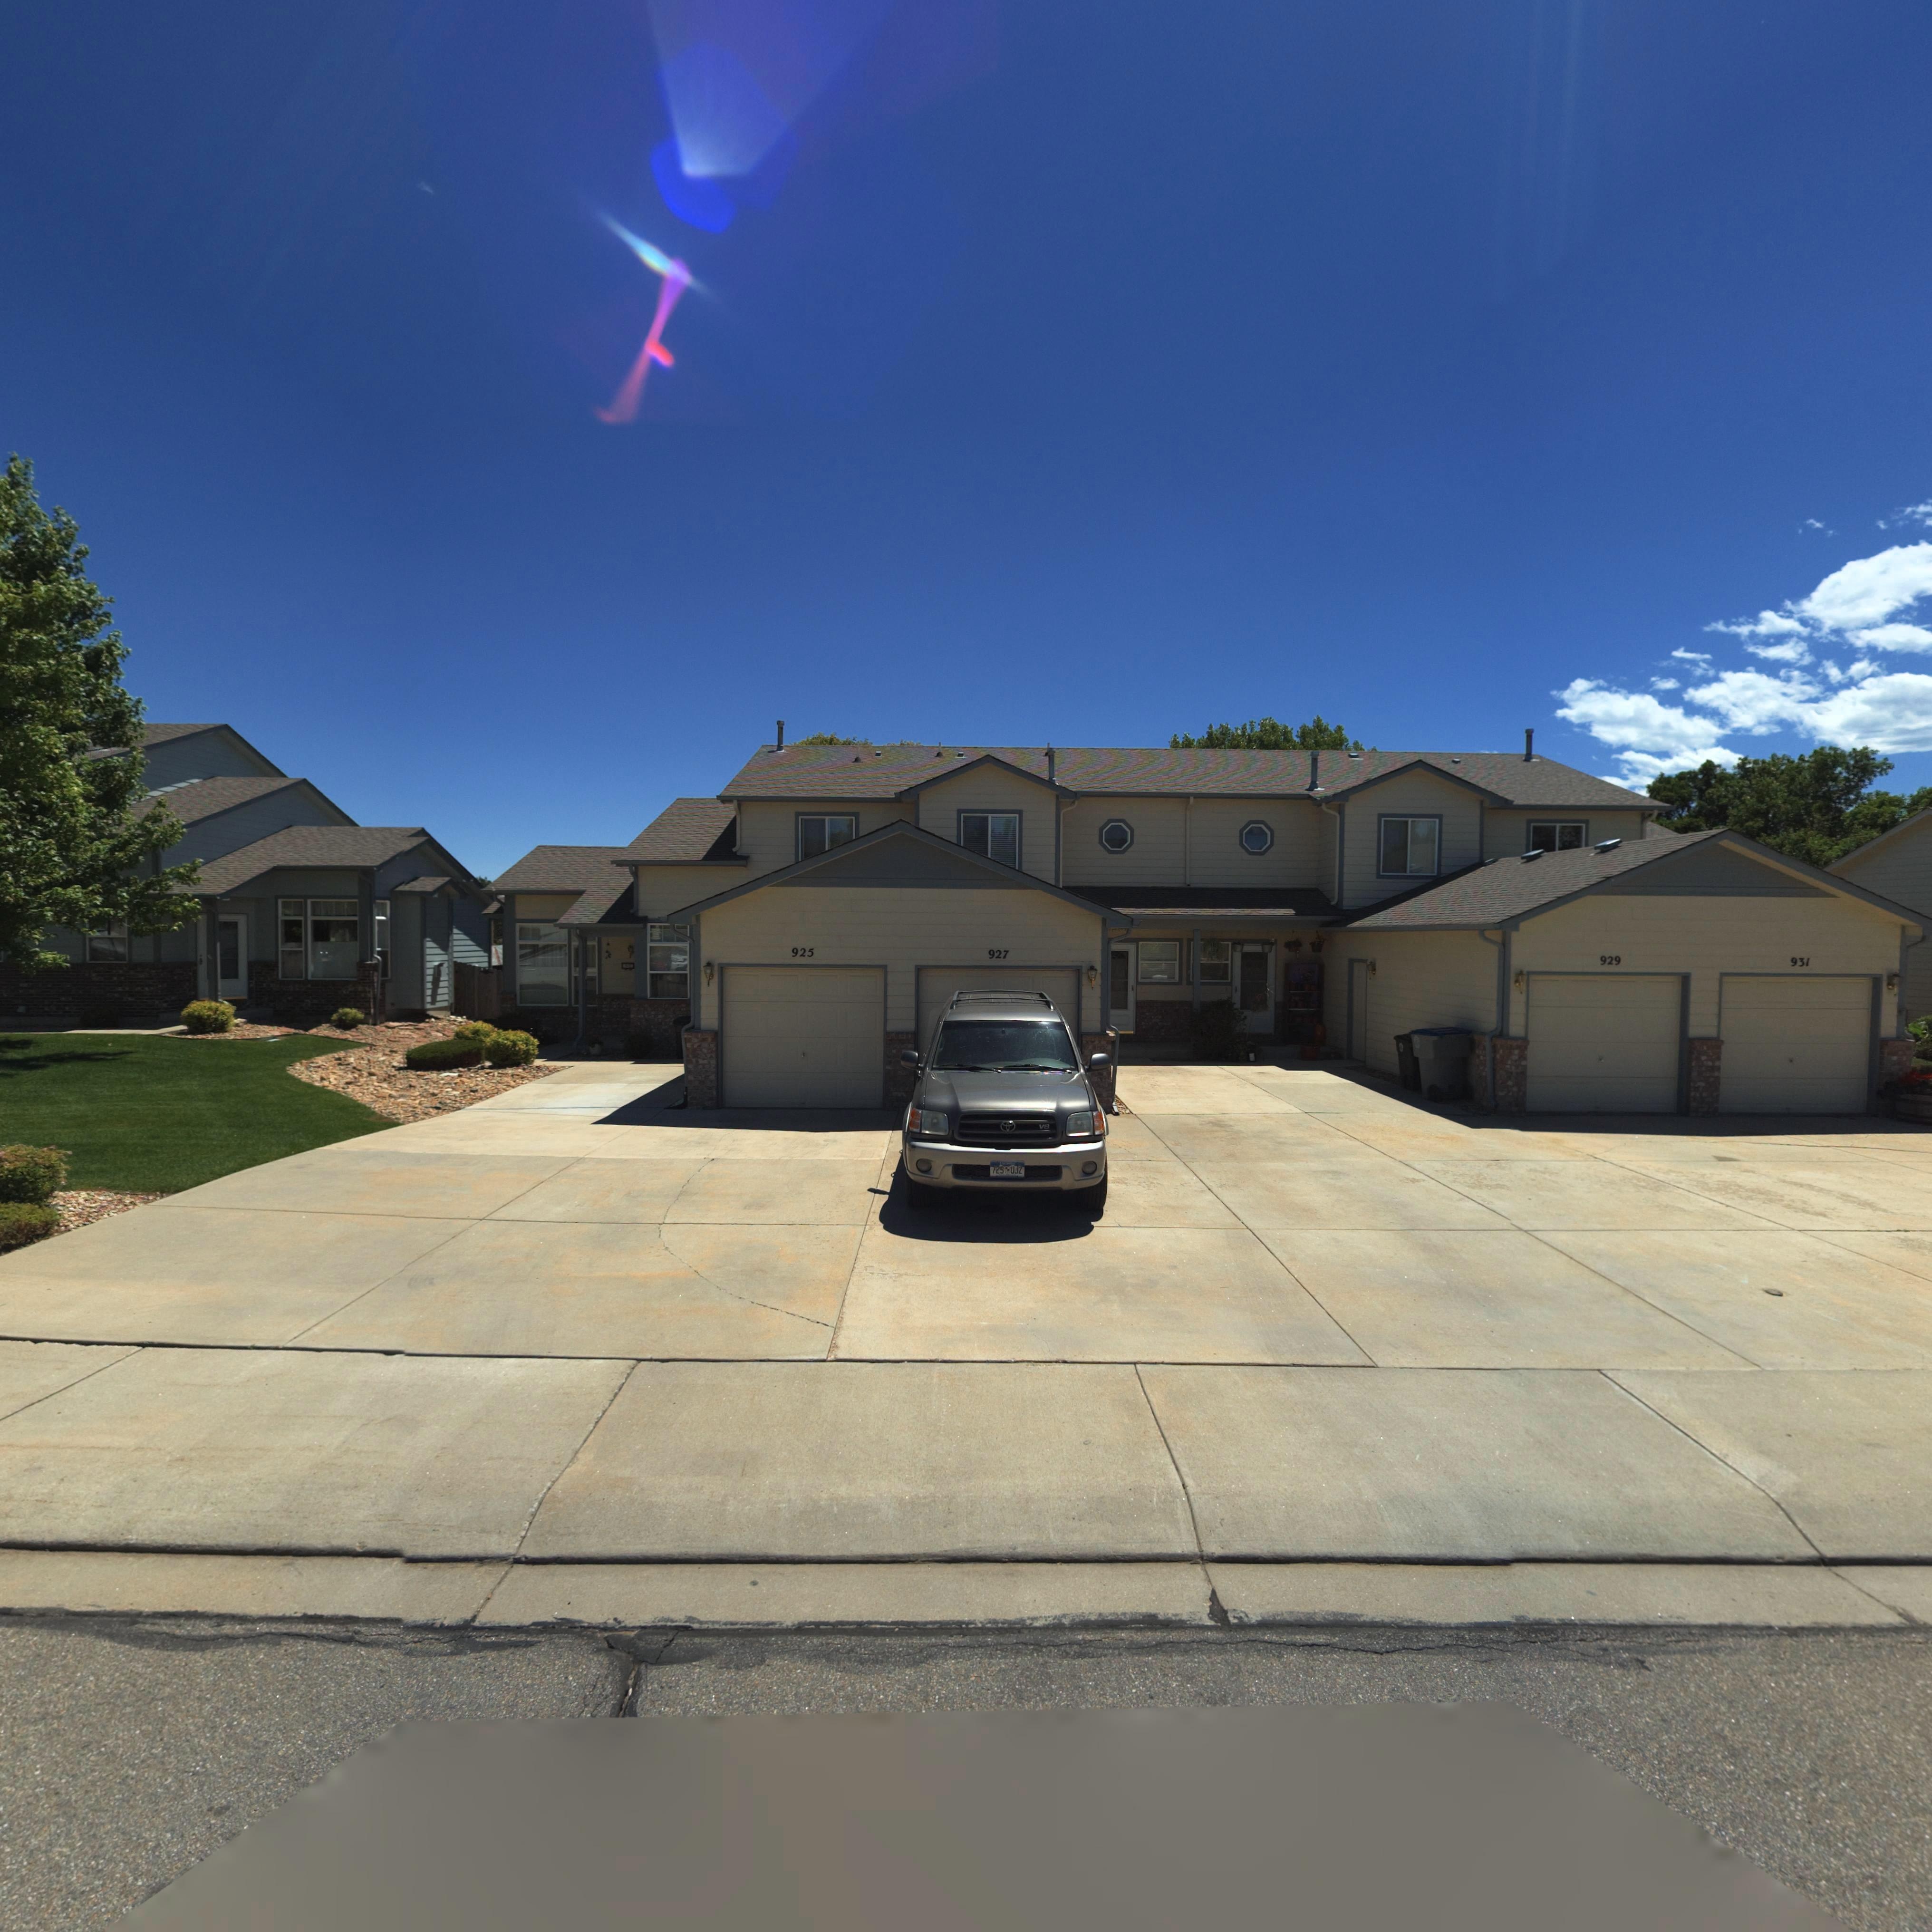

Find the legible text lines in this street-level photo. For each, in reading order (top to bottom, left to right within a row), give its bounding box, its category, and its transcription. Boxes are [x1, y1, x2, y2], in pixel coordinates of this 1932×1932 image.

[792, 947, 814, 957] StreetNumber: 925
[988, 949, 1010, 959] StreetNumber: 927
[1600, 956, 1621, 965] StreetNumber: 929
[1790, 957, 1810, 967] StreetNumber: 931